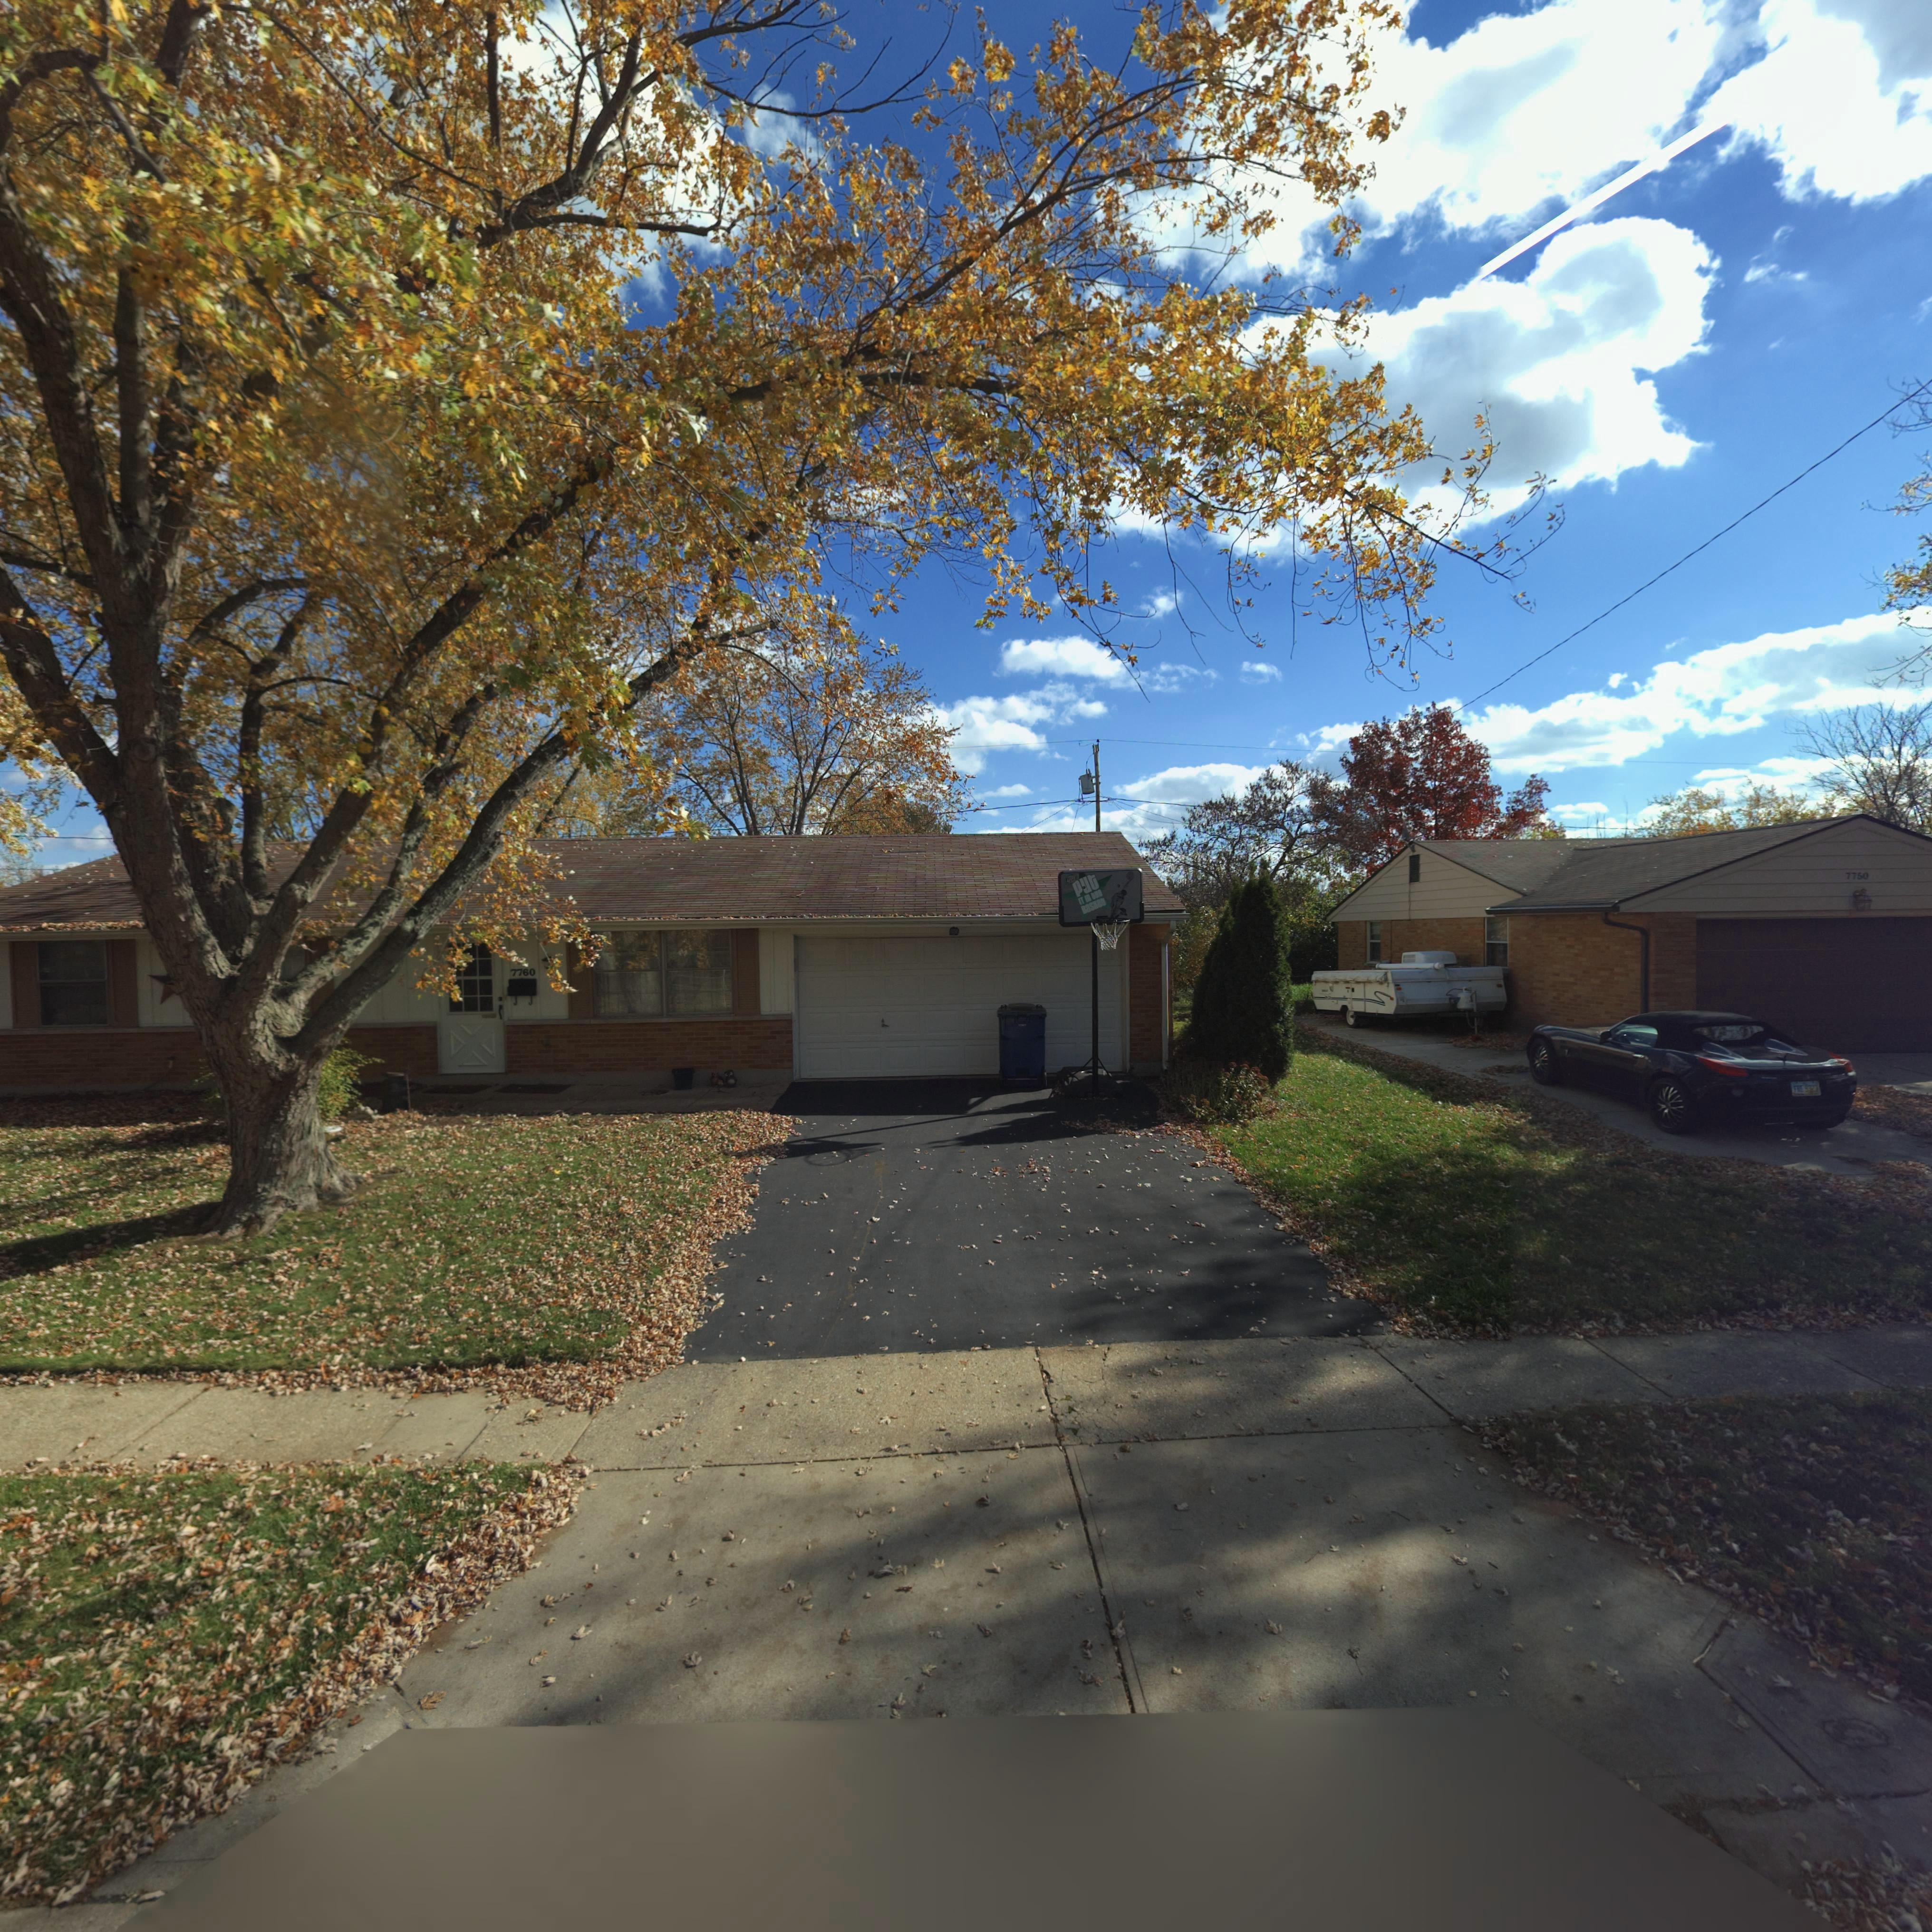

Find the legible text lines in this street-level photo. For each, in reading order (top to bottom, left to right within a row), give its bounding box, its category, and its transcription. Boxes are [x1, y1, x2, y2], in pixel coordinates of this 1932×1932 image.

[1844, 872, 1869, 880] StreetNumber: 7750
[510, 968, 536, 977] StreetNumber: 7760